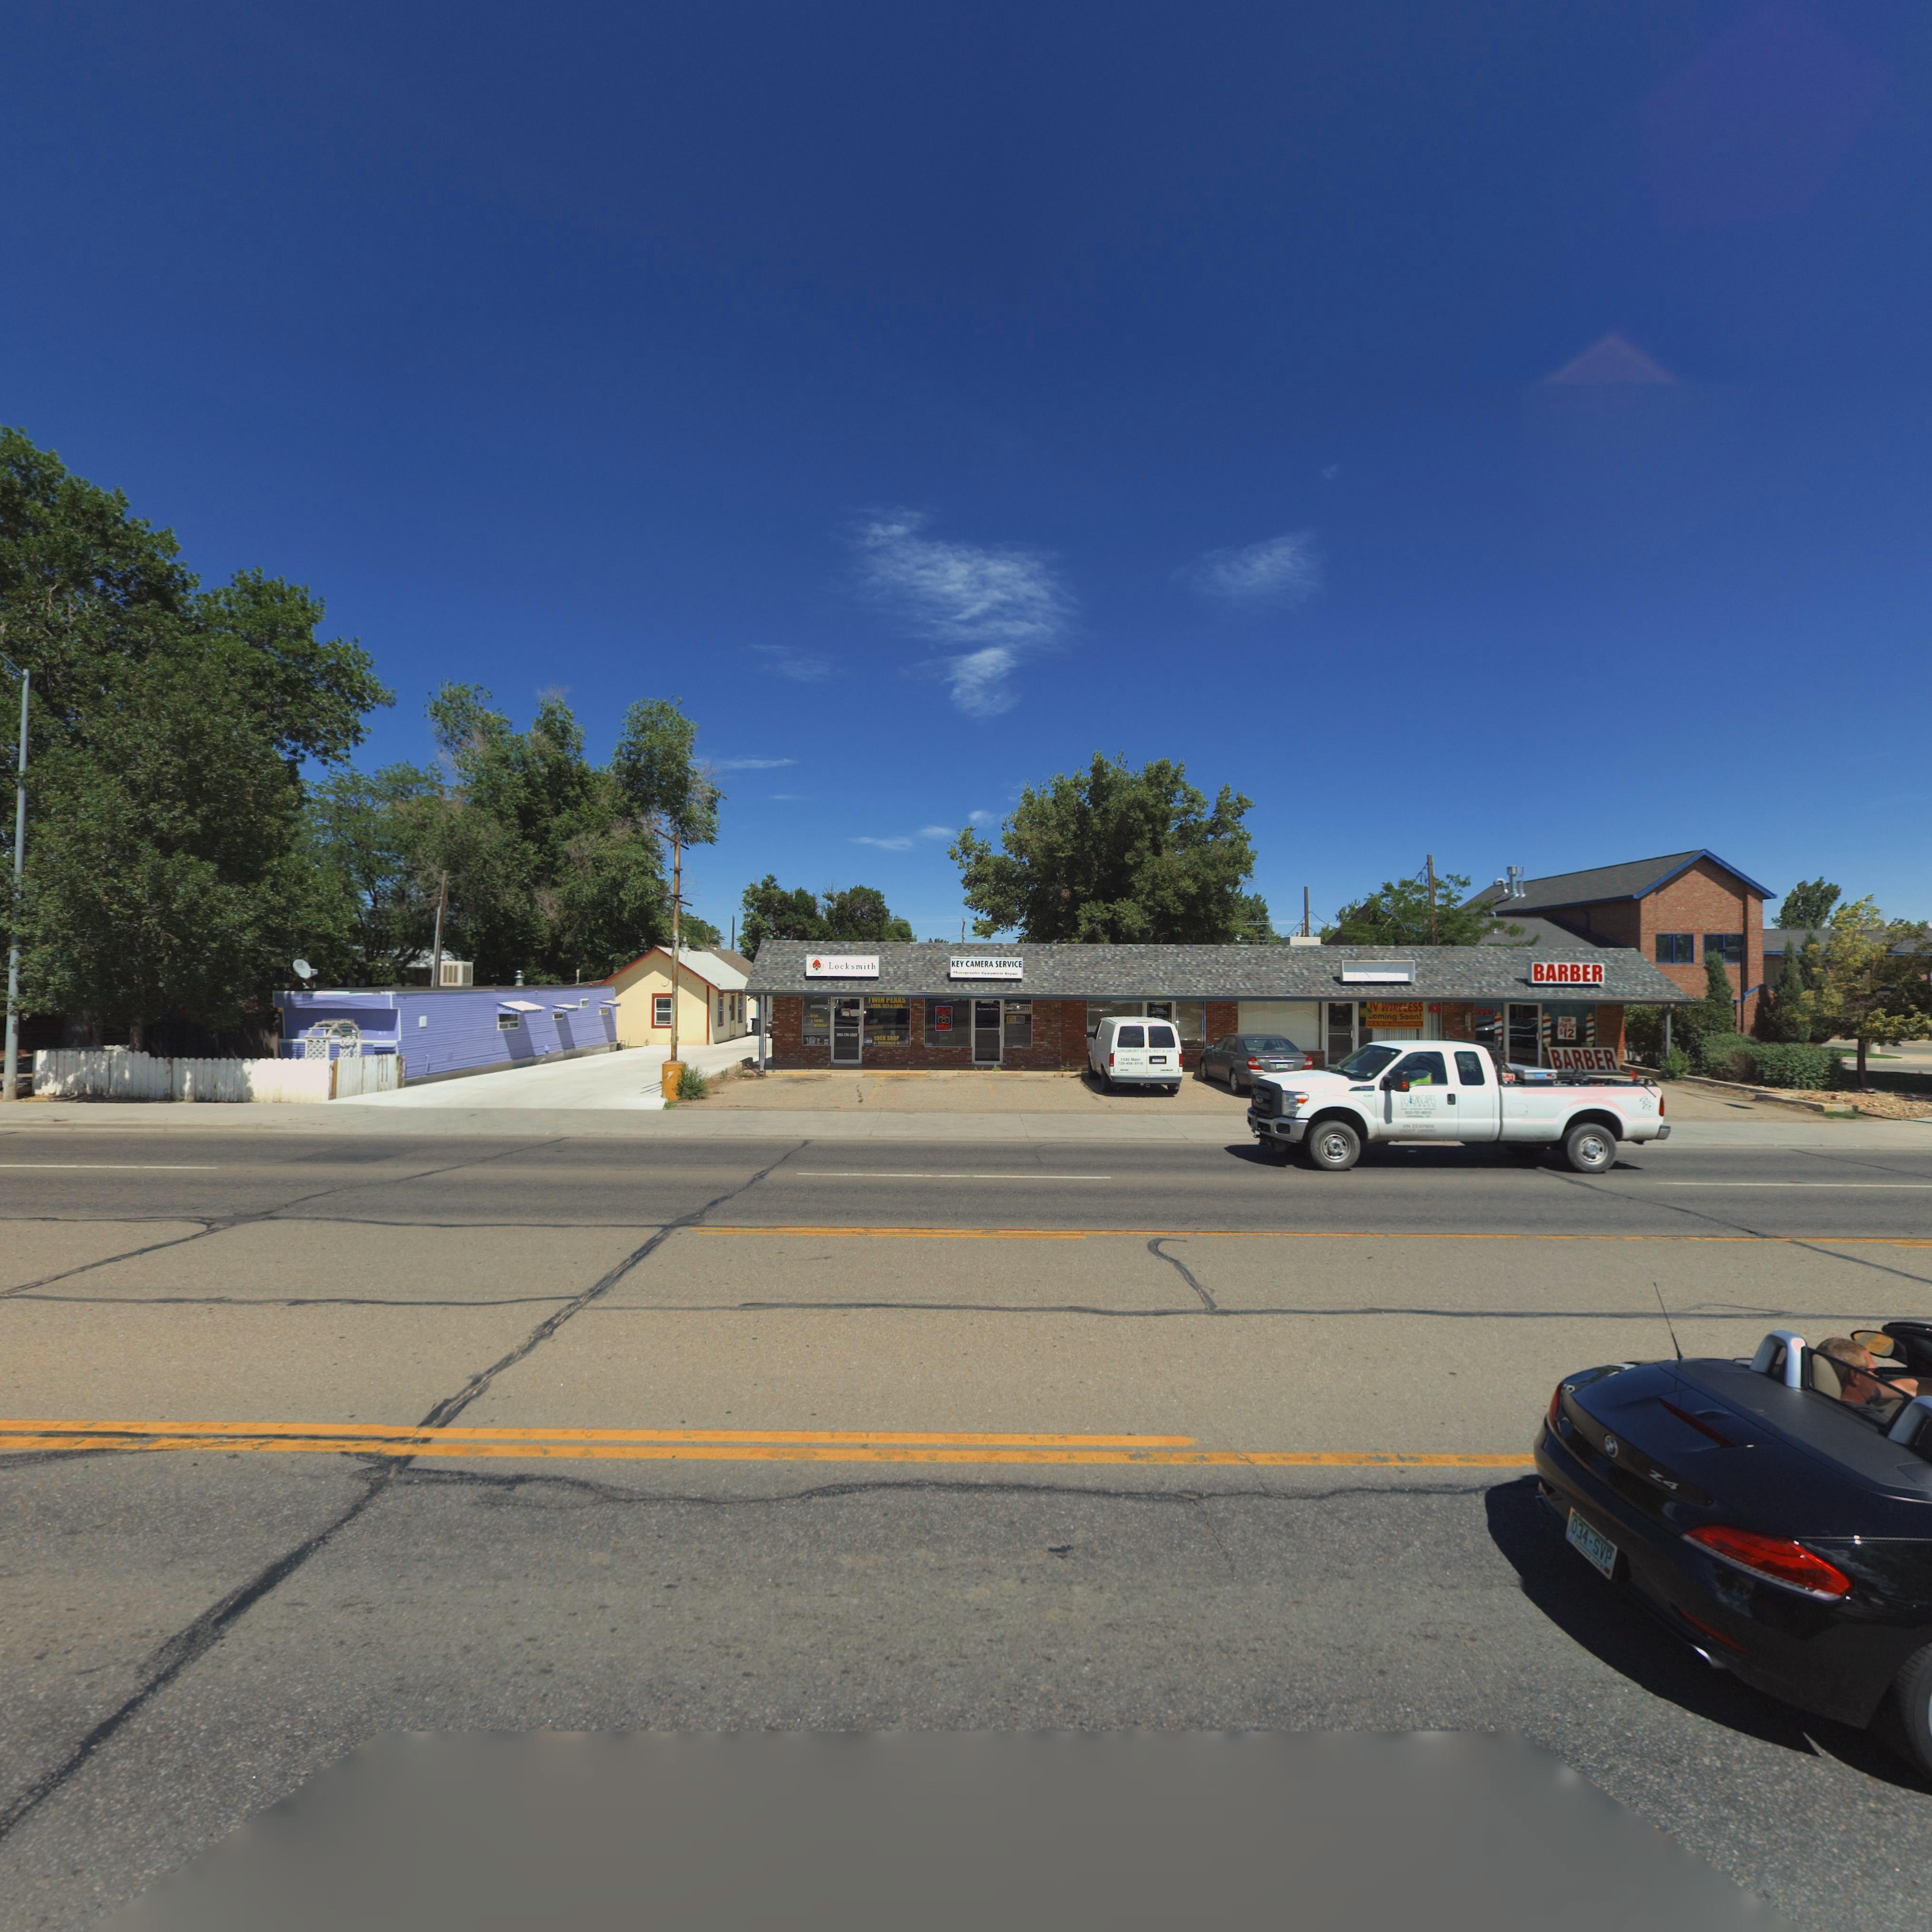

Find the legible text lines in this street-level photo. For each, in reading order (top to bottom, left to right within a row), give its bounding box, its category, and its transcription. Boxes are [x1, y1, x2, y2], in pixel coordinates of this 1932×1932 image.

[951, 960, 1022, 967] BusinessName: KEY CAMERA SERVICE
[868, 996, 906, 1003] BusinessName: *WIN PEAKS